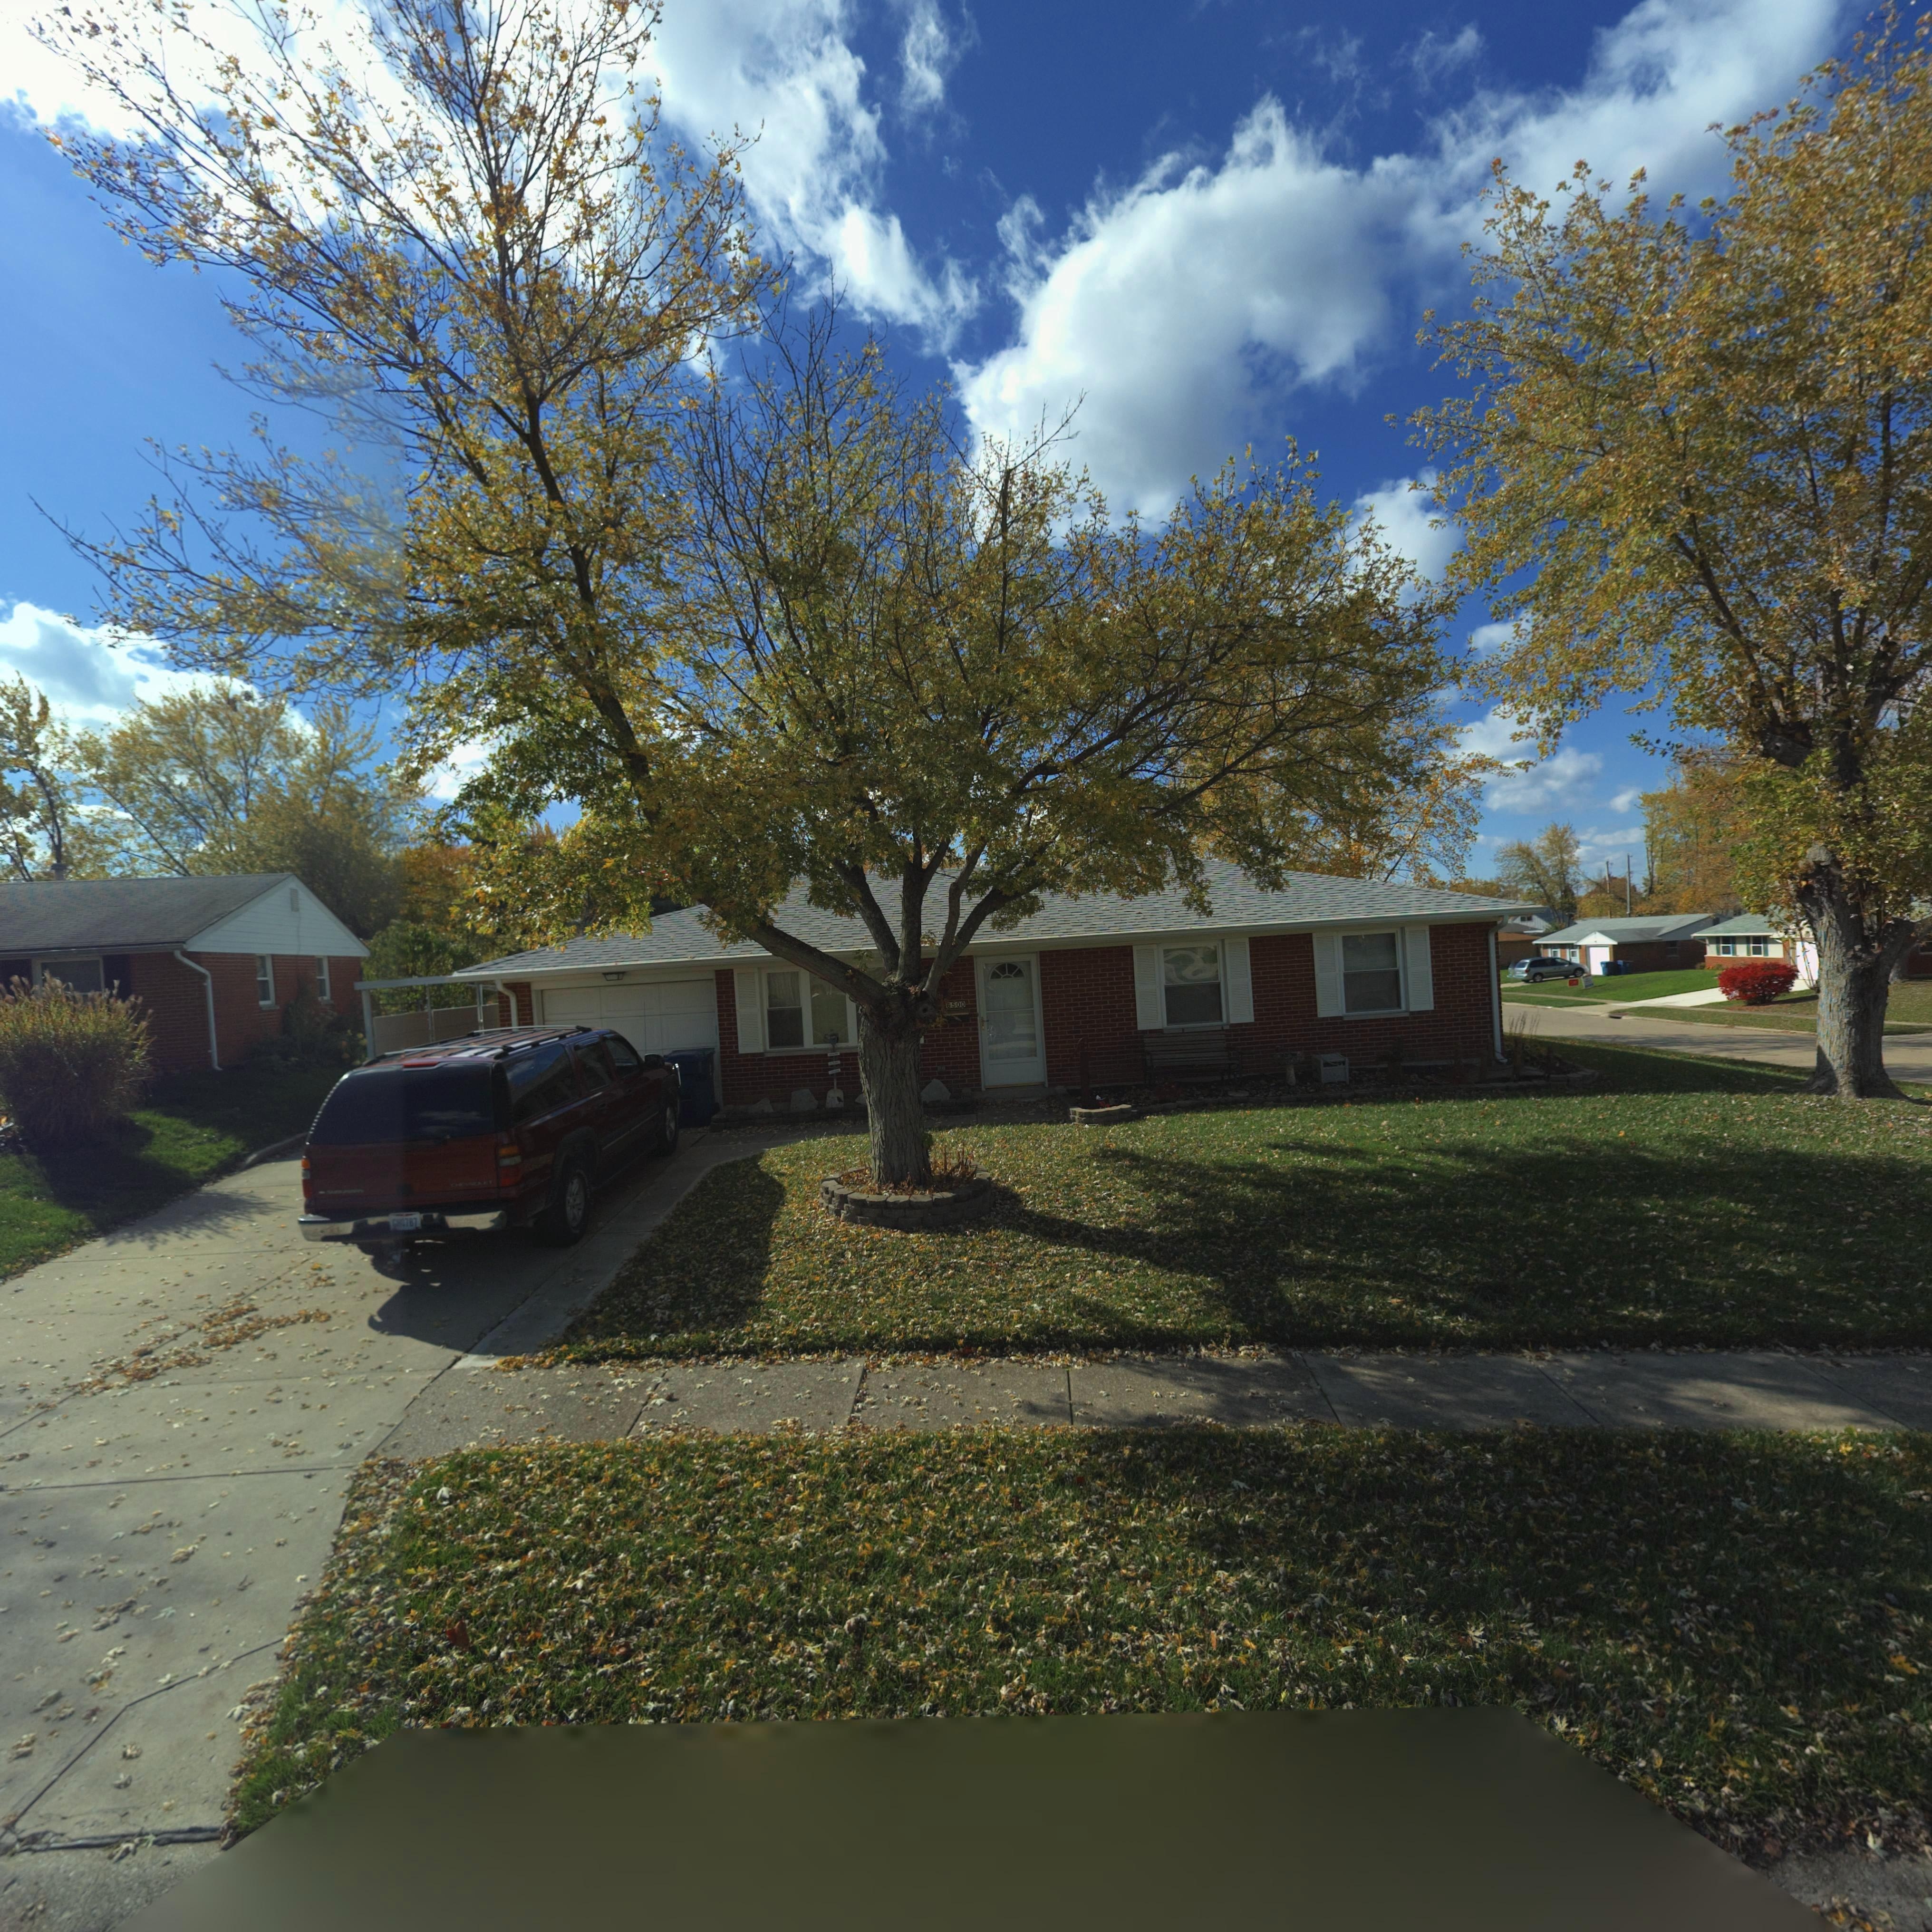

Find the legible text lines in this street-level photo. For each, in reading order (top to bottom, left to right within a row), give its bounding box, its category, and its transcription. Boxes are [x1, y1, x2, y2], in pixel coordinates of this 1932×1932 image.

[946, 1001, 965, 1008] StreetNumber: 6500